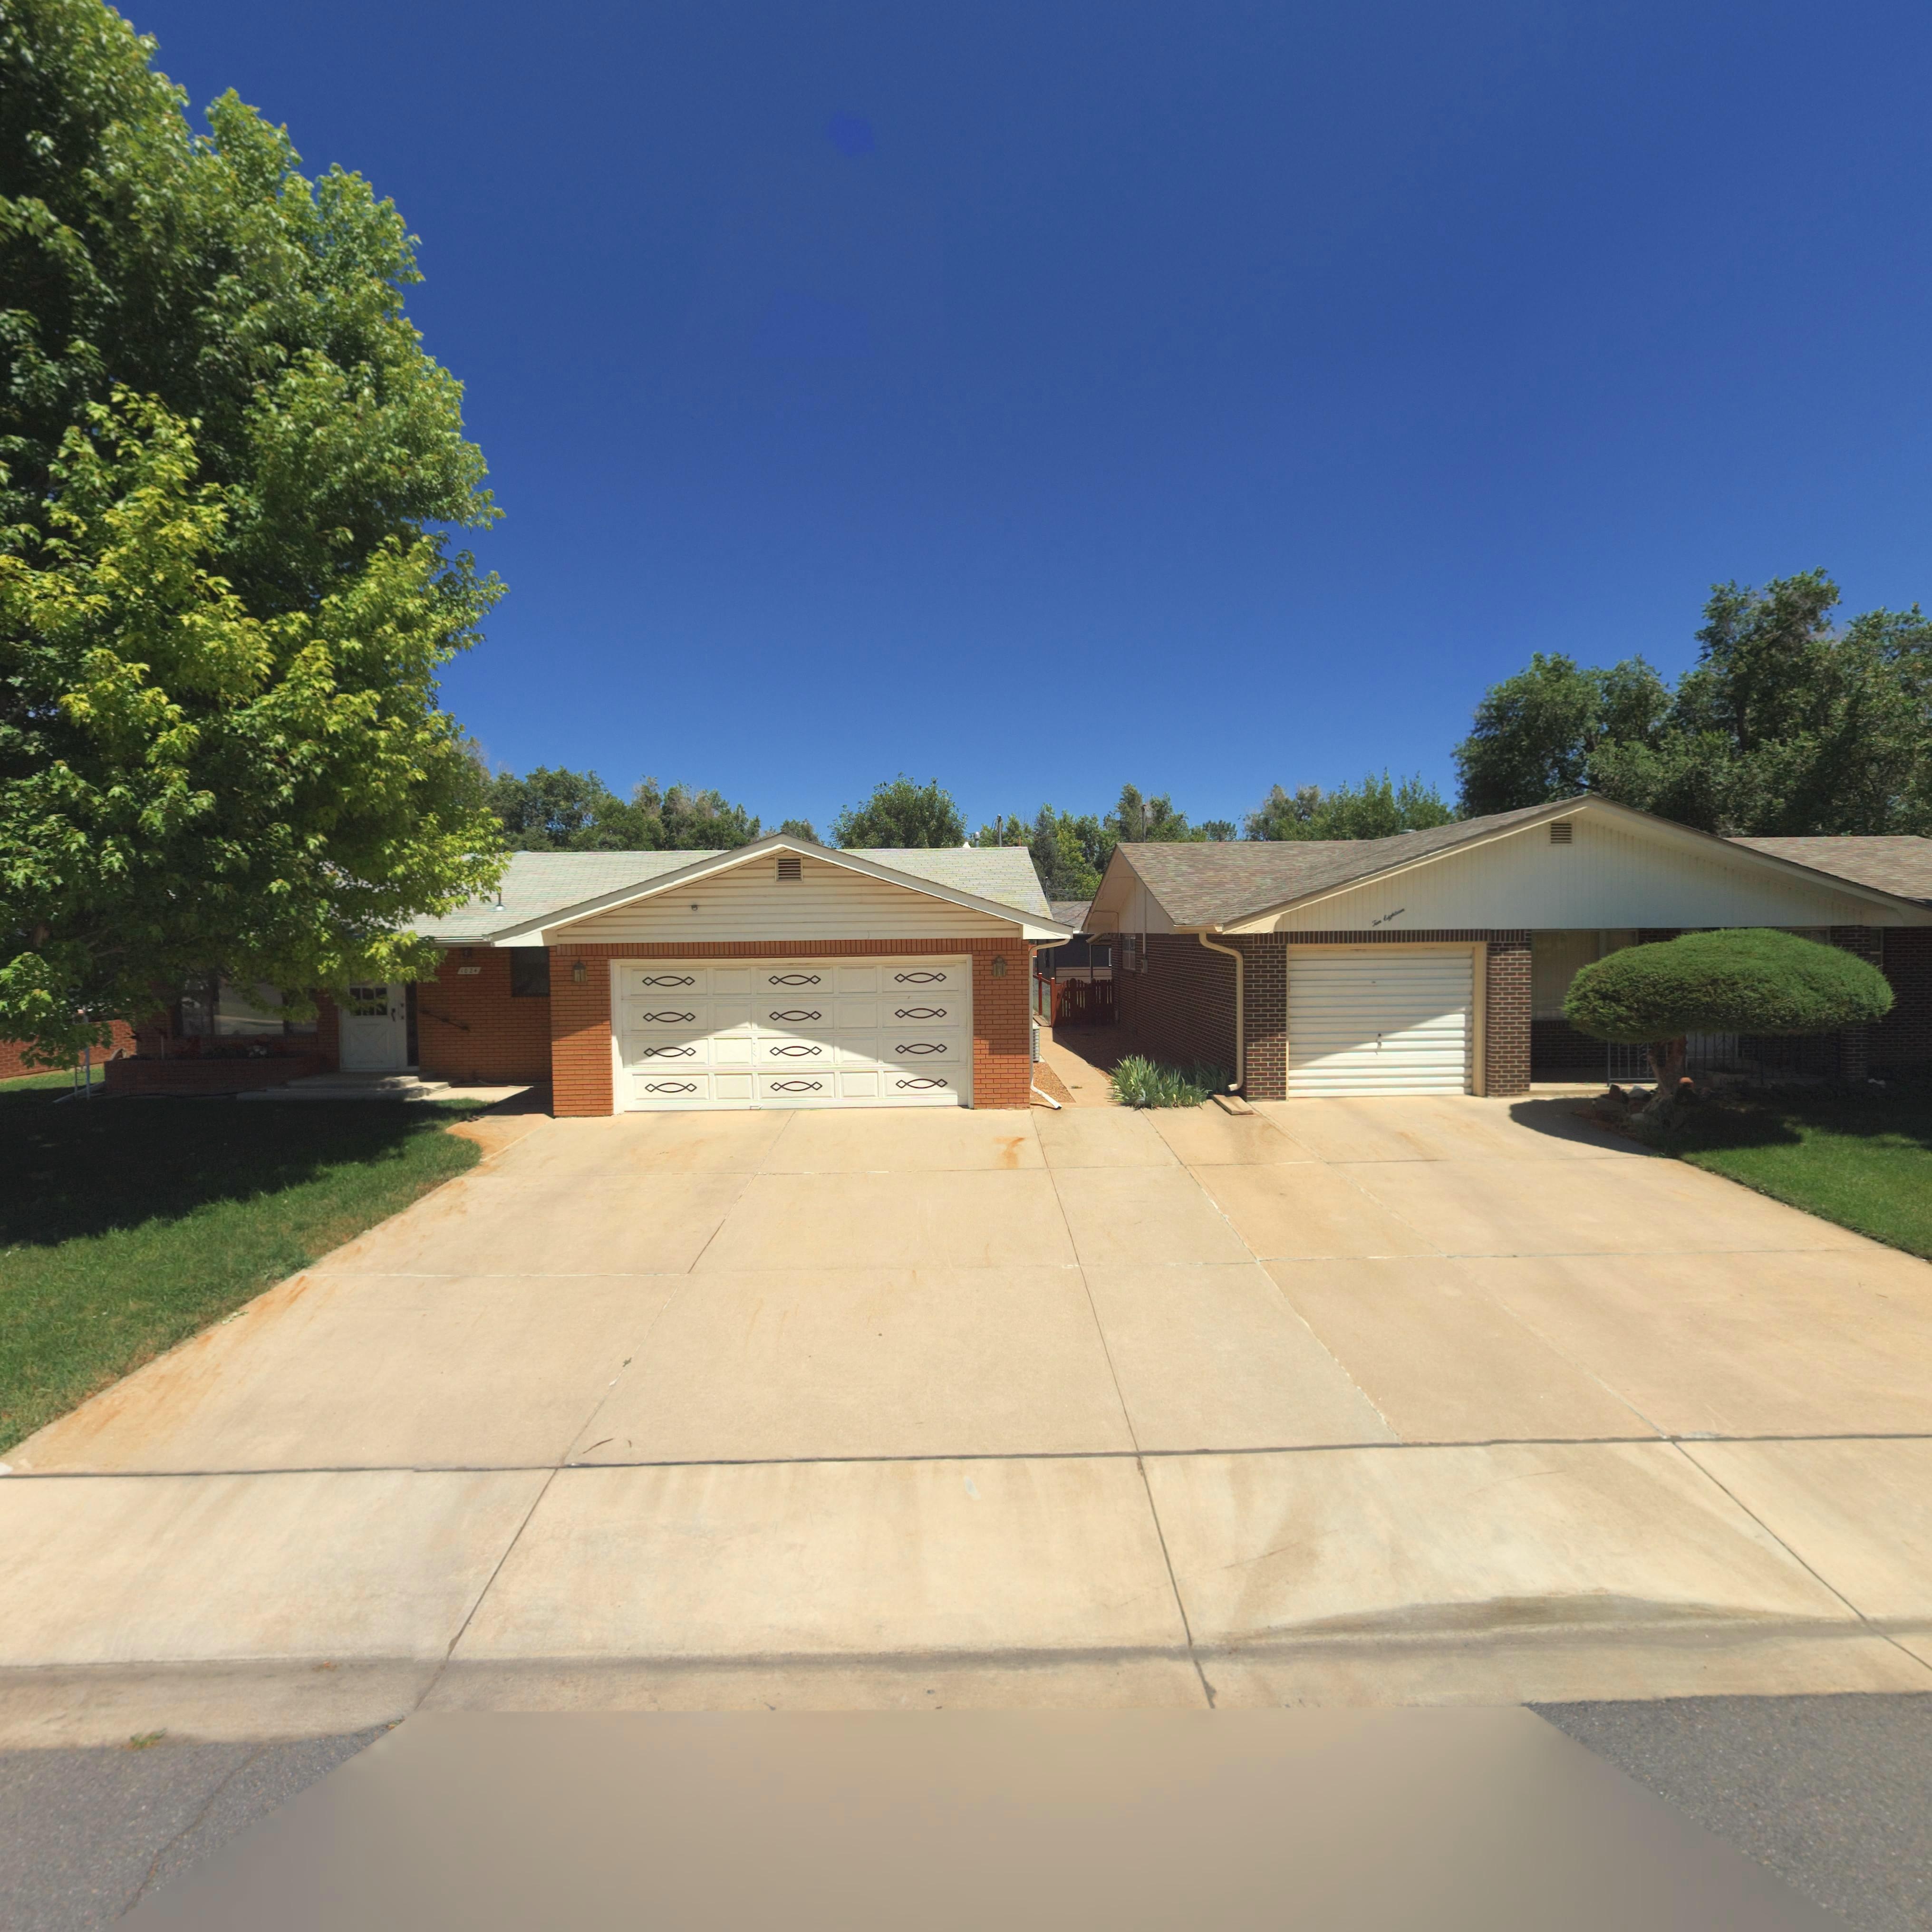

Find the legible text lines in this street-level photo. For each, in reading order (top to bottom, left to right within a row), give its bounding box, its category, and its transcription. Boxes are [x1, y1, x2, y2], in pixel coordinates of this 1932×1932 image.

[1372, 907, 1405, 927] StreetNumber: T*n Eight***
[461, 967, 477, 973] StreetNumber: 1024